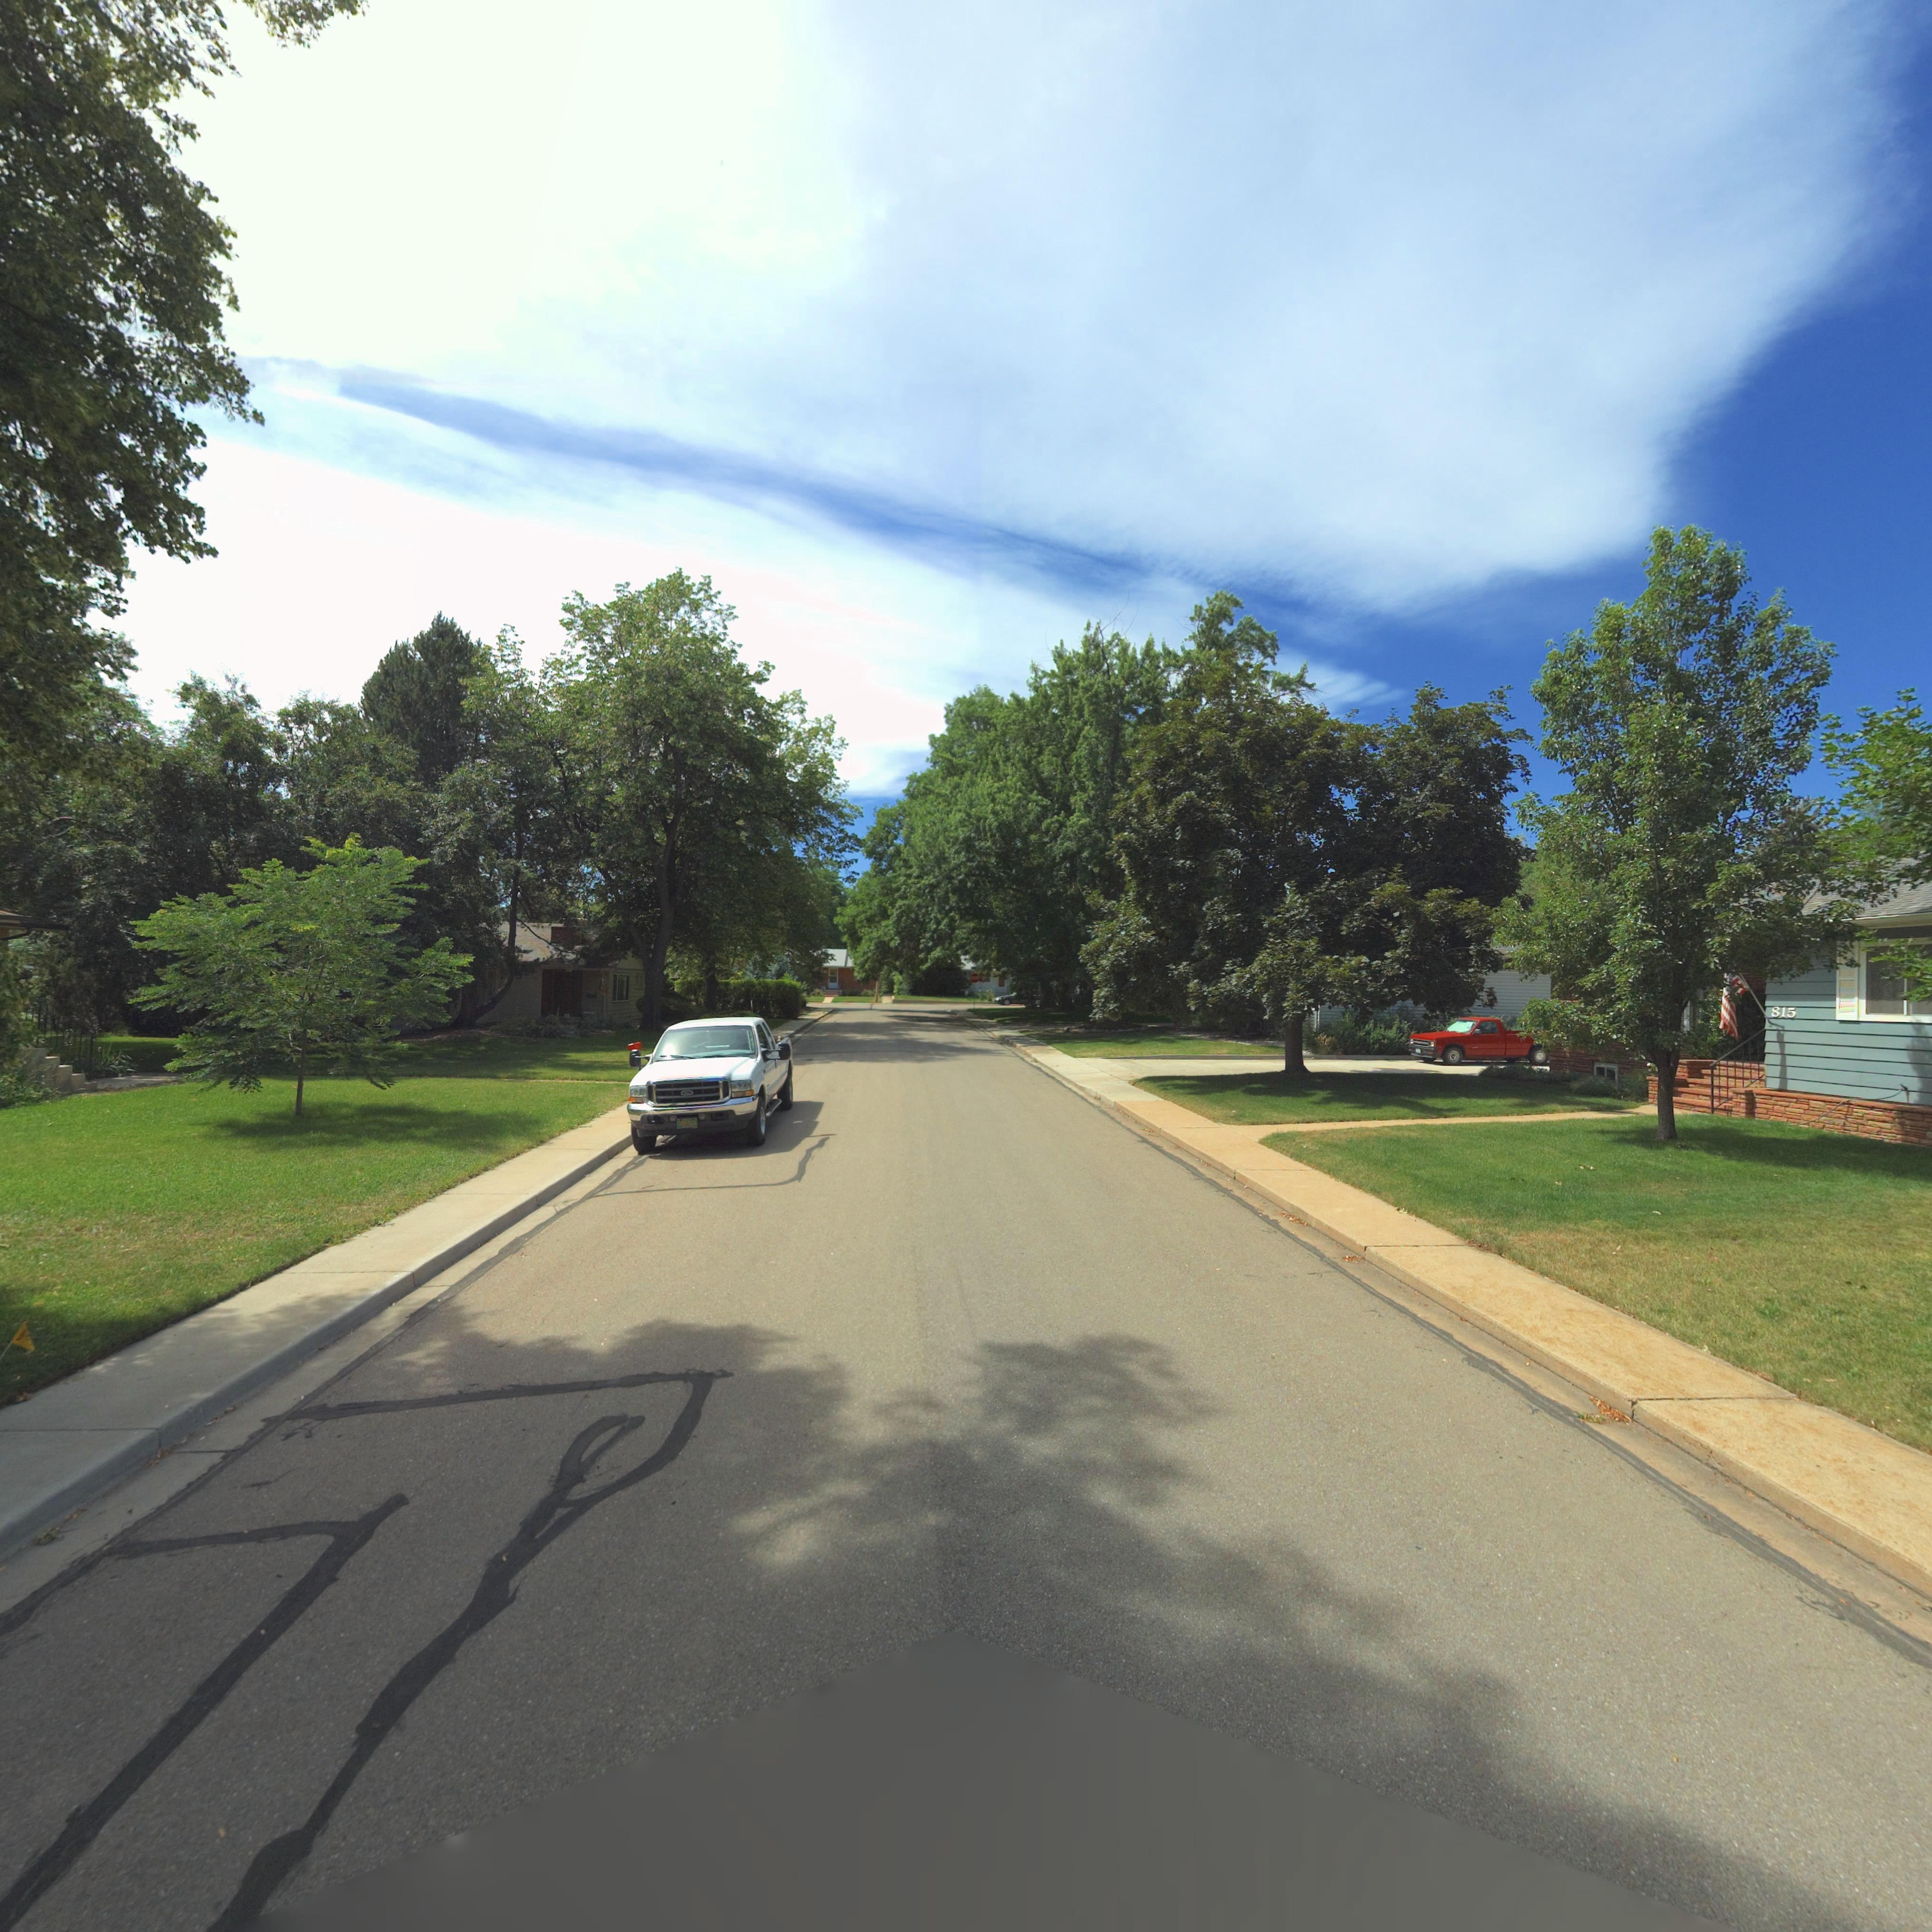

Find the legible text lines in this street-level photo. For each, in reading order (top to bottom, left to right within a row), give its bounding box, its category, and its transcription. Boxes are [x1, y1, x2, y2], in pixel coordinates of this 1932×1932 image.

[1771, 1006, 1796, 1018] StreetNumber: 815